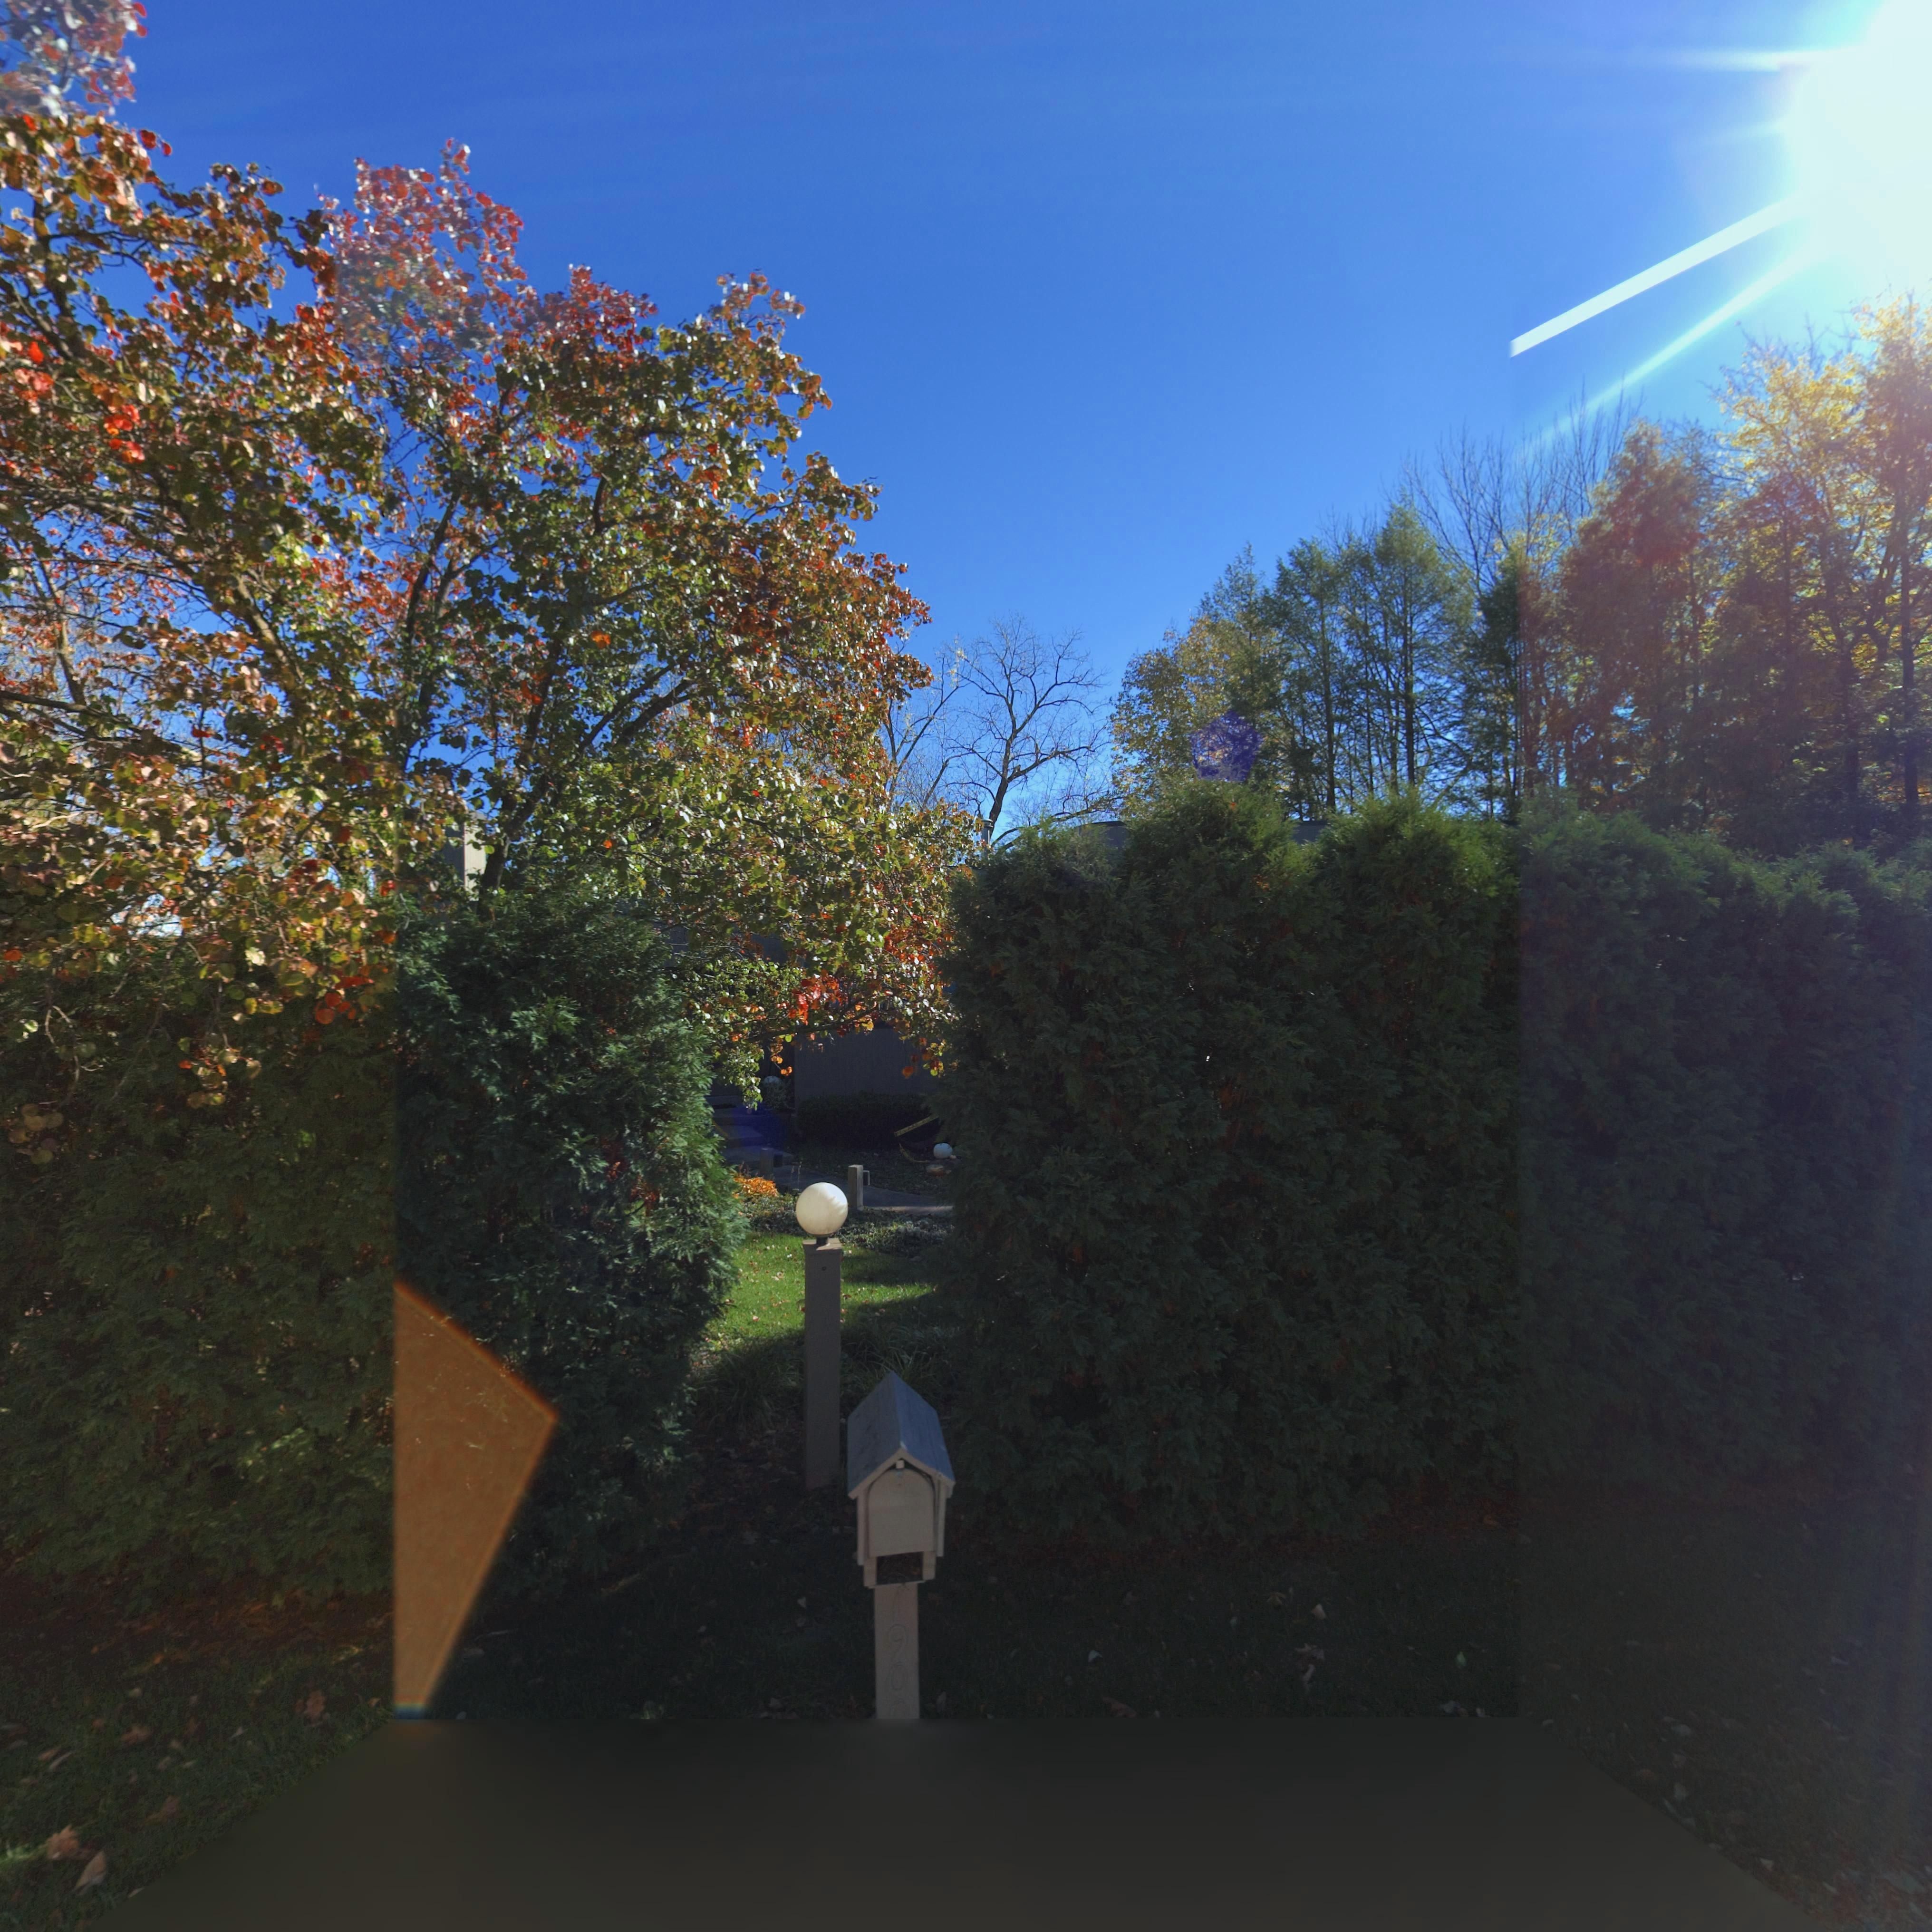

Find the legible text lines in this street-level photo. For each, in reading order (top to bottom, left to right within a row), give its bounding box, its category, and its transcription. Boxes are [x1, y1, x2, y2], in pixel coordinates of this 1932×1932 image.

[883, 1620, 913, 1698] StreetNumber: 90